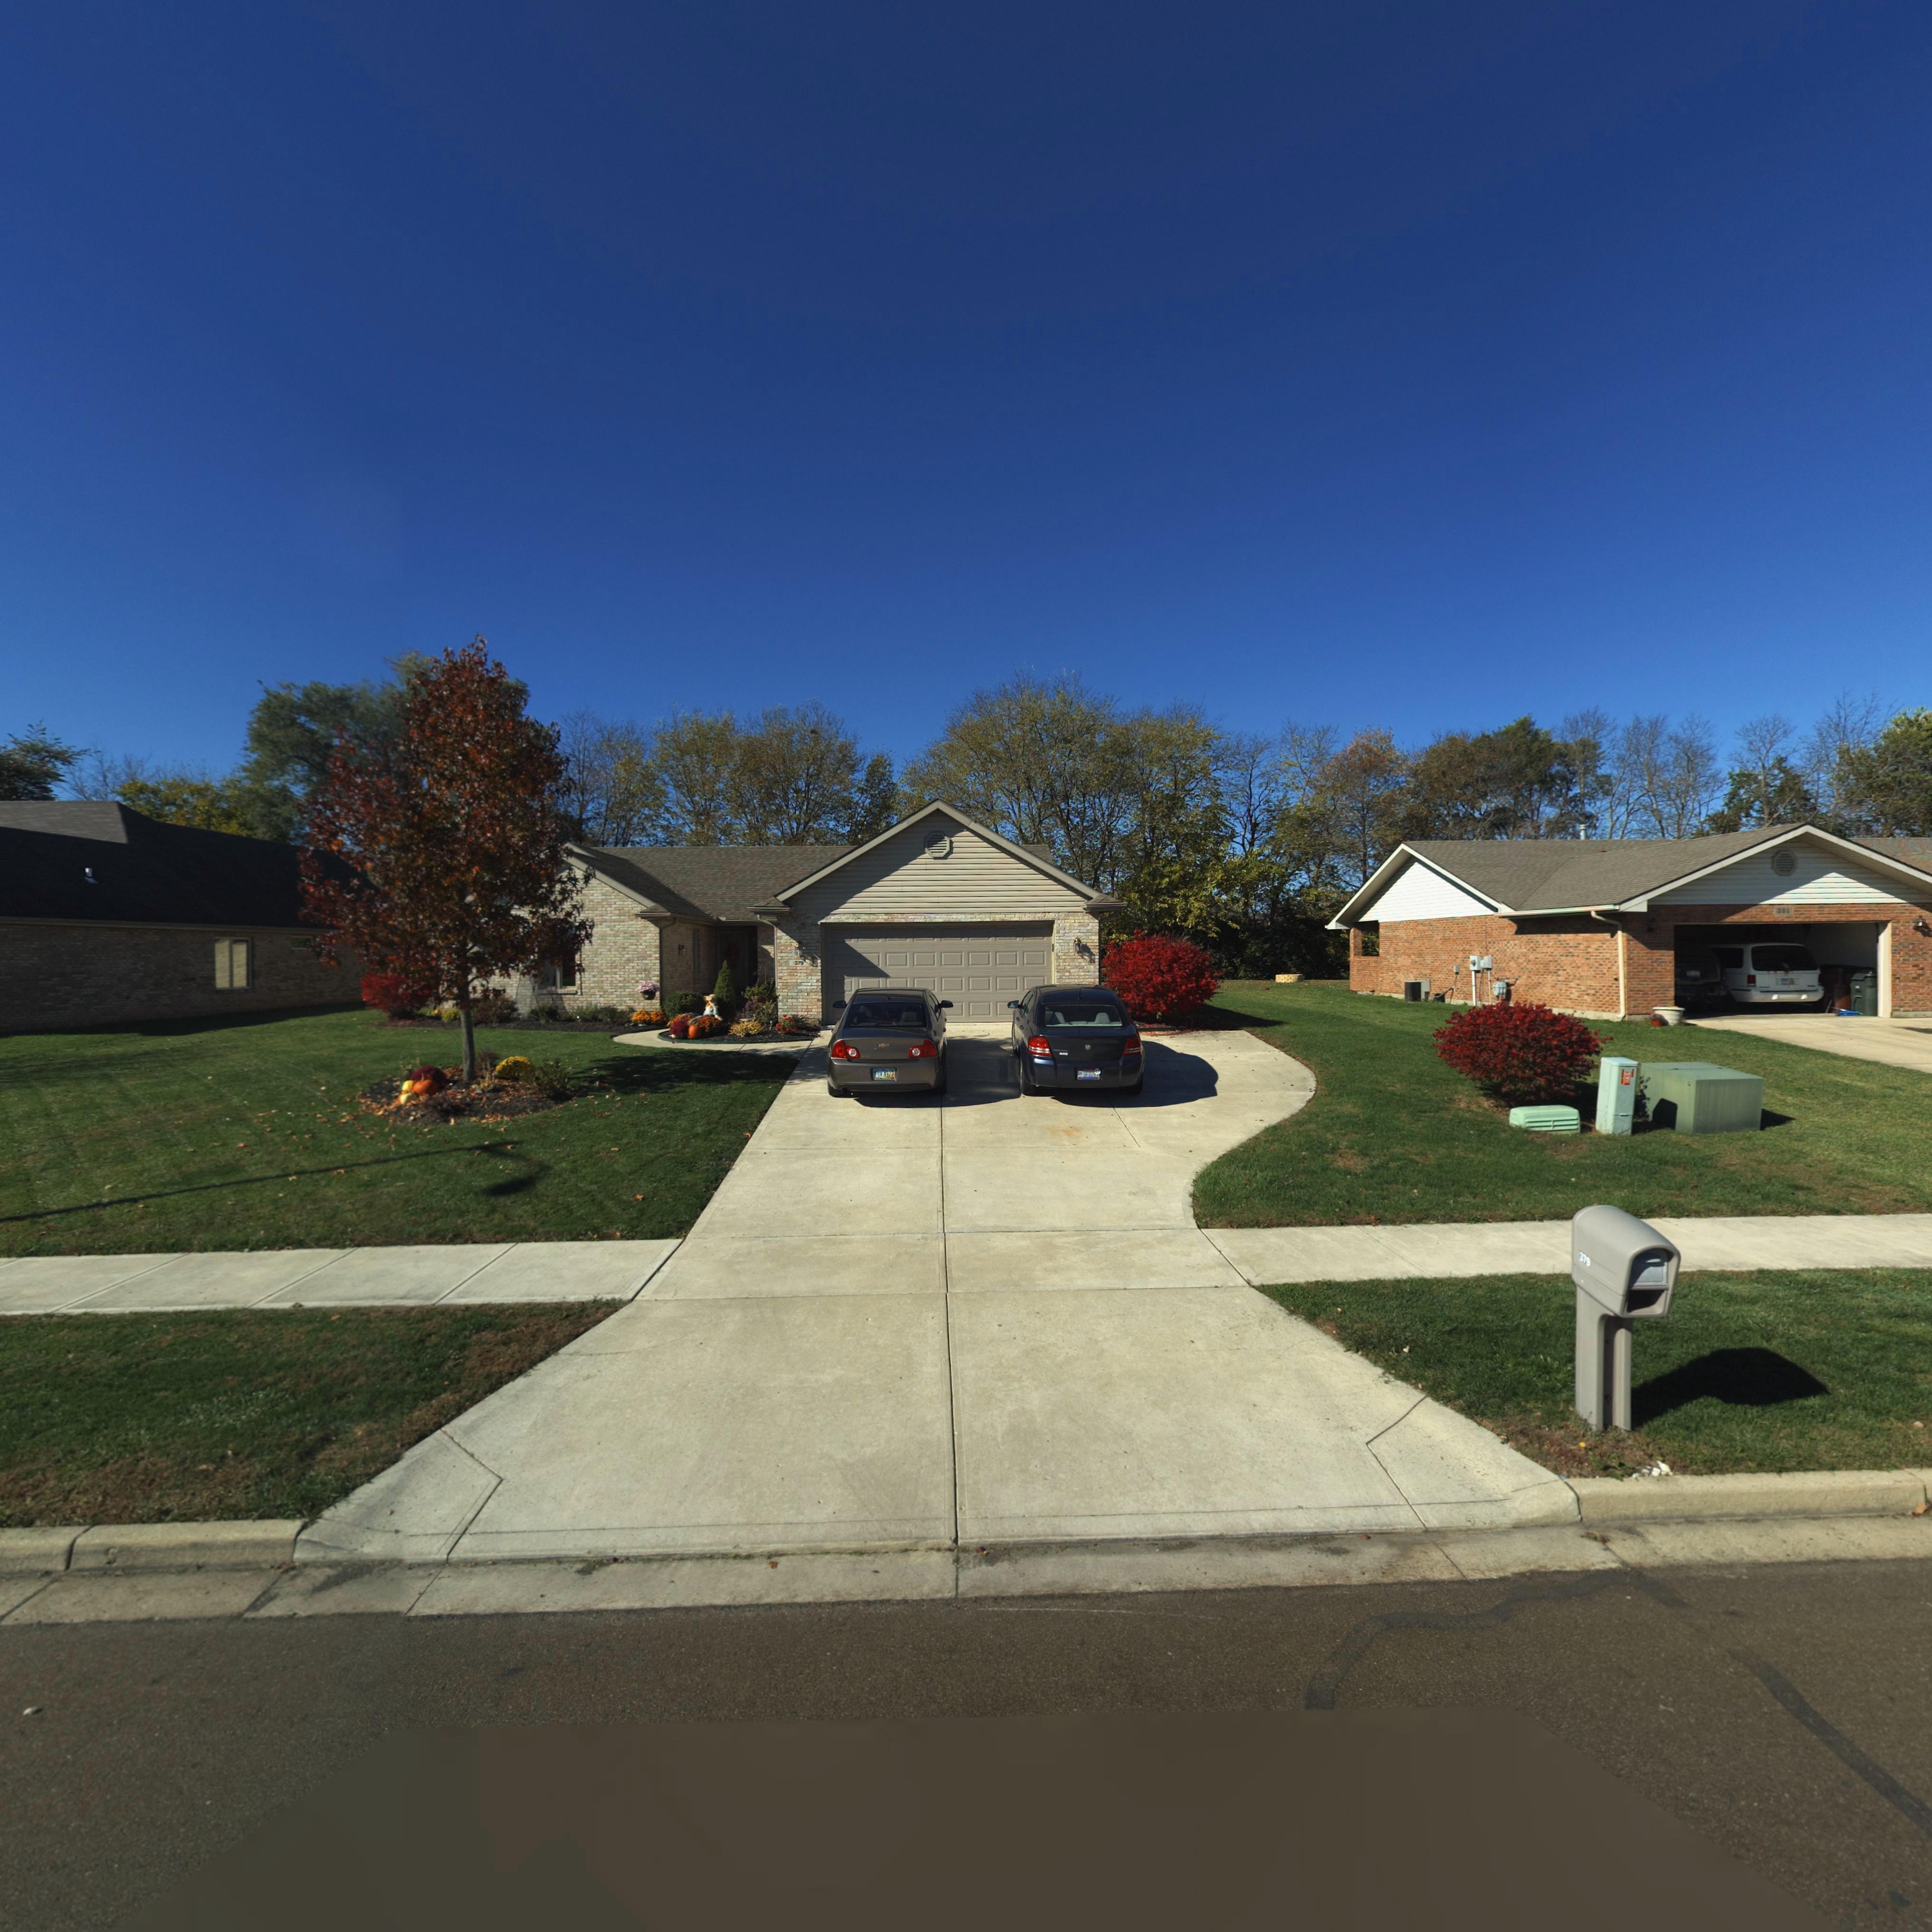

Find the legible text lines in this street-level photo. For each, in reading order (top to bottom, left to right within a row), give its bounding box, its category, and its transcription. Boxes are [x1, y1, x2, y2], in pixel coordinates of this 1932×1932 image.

[1777, 908, 1790, 914] StreetNumber: 2*1
[794, 960, 804, 965] StreetNumber: 379
[1579, 1251, 1592, 1268] StreetNumber: 379